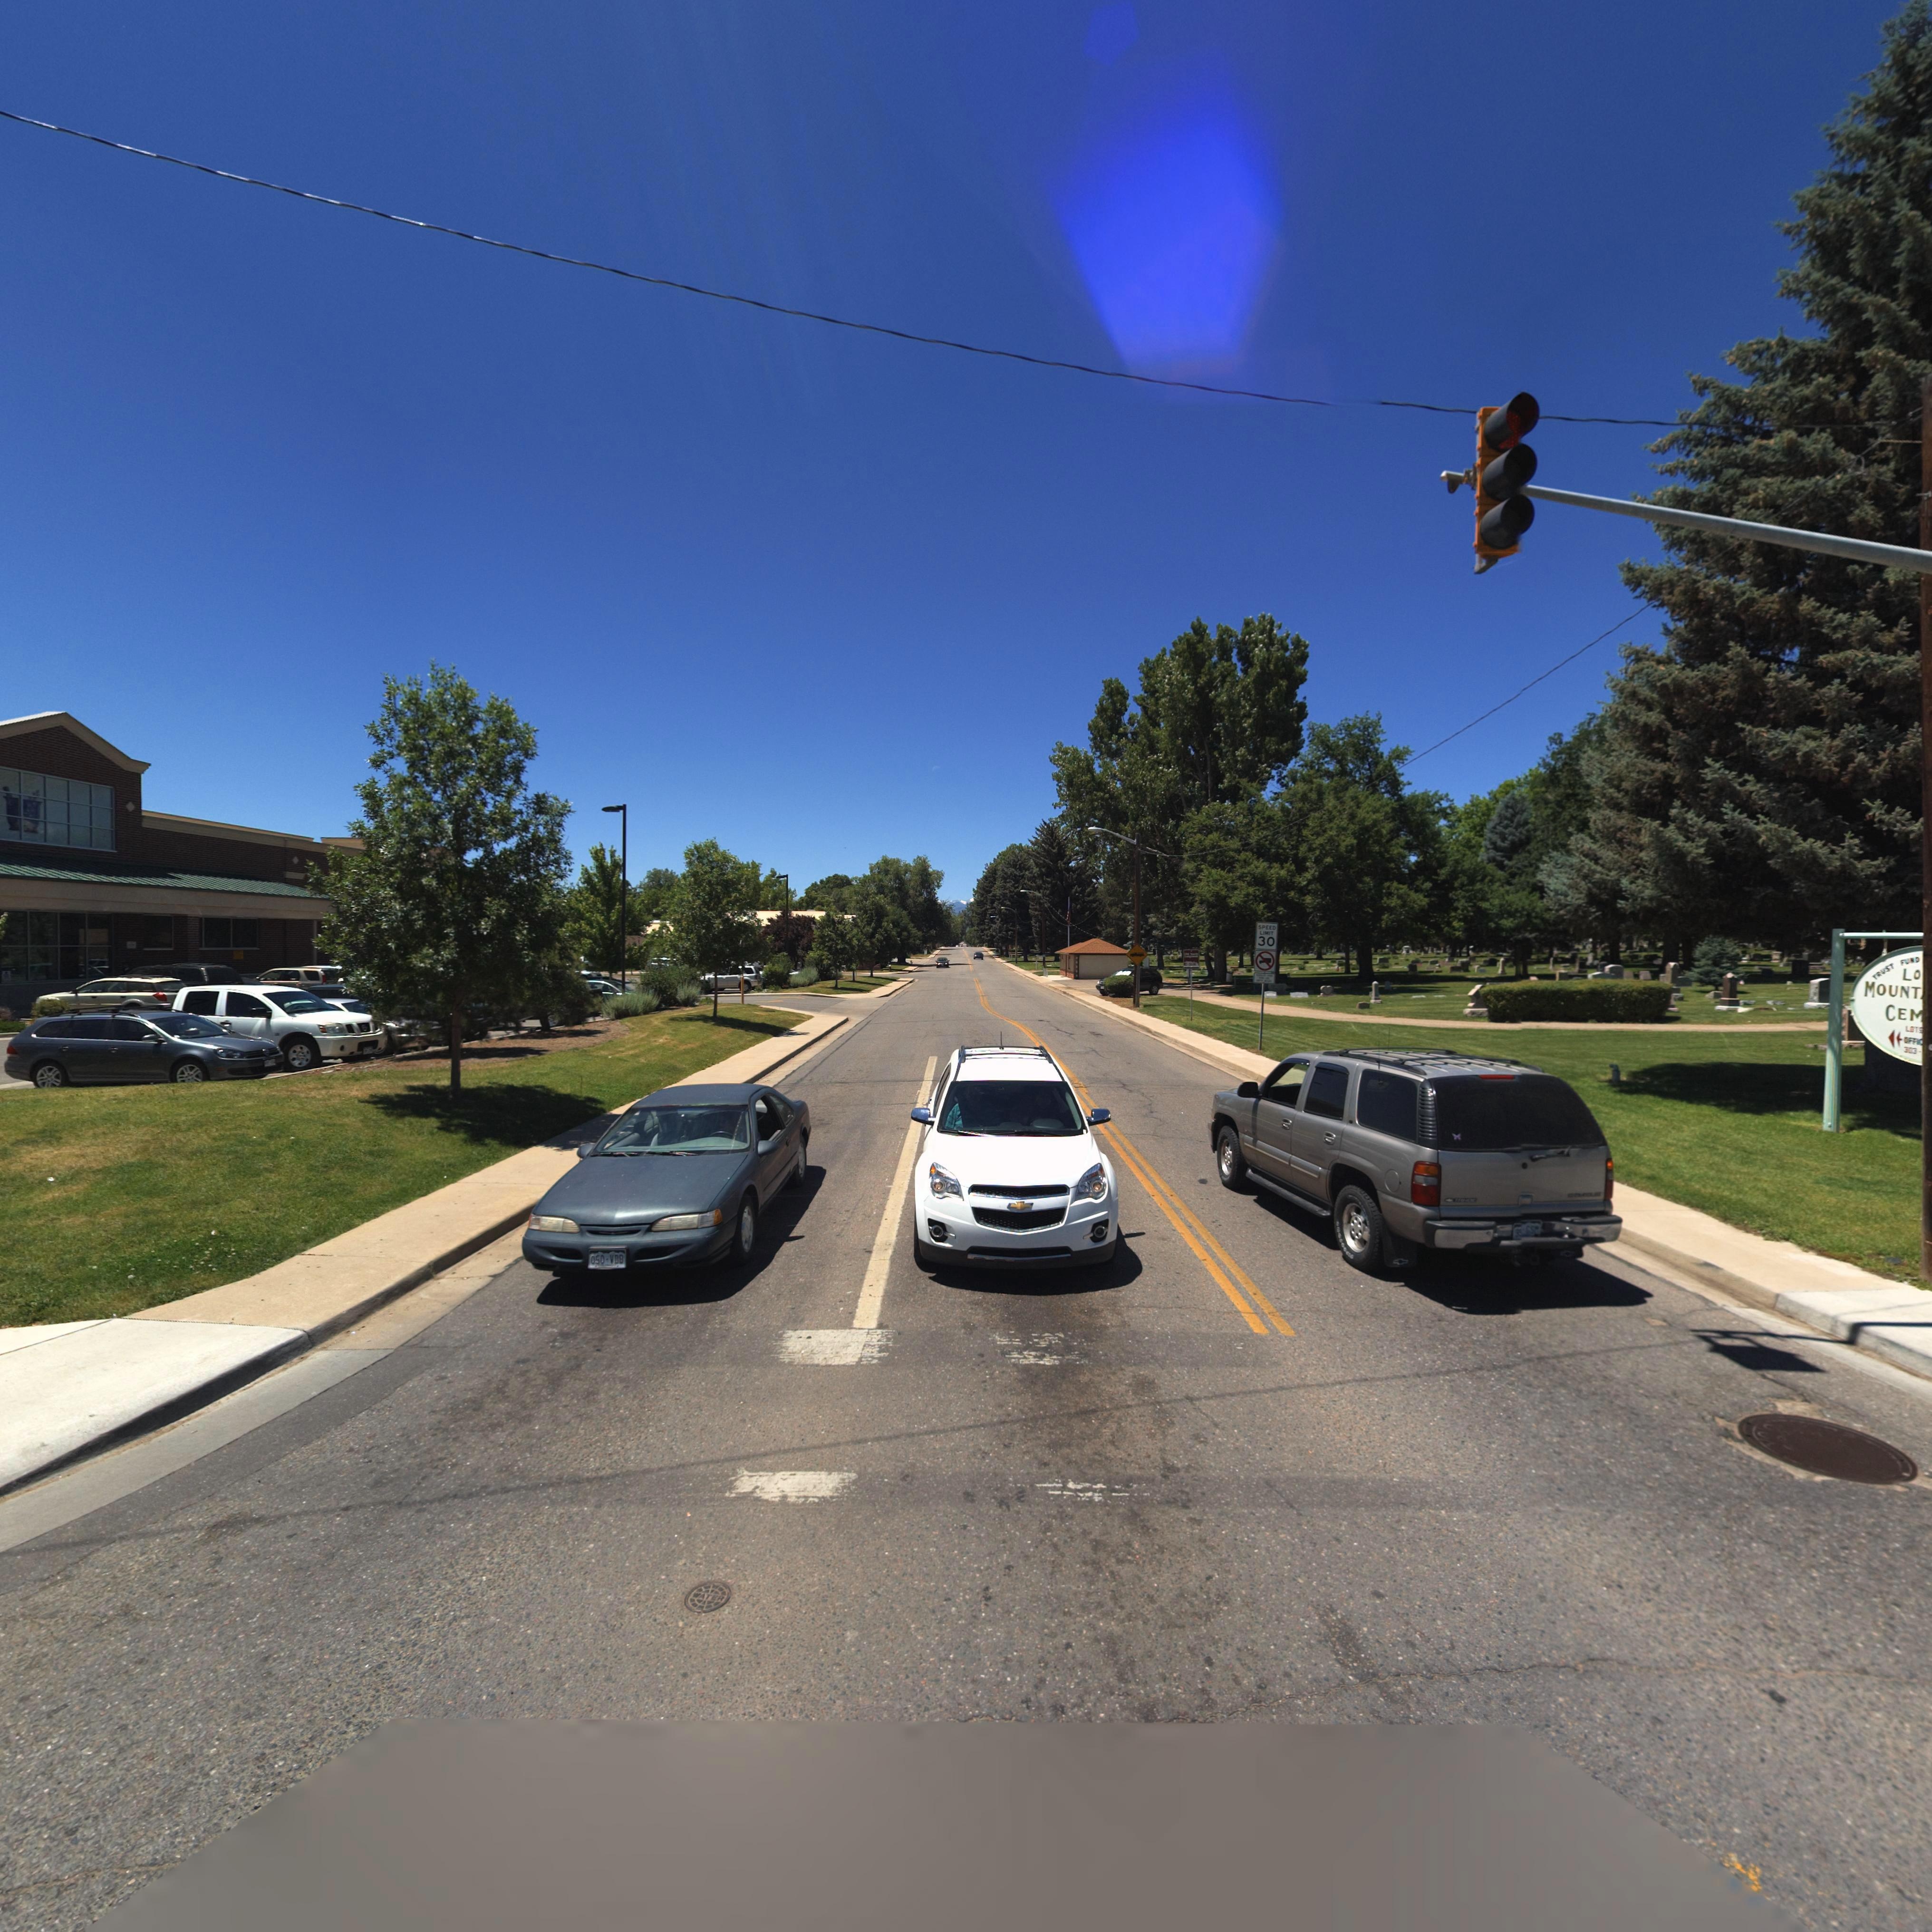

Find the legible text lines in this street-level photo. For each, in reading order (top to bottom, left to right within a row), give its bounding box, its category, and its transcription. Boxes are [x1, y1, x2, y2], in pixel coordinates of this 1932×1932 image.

[1864, 980, 1922, 1000] BusinessName: MOUNT
[1885, 1004, 1925, 1023] BusinessName: CEM